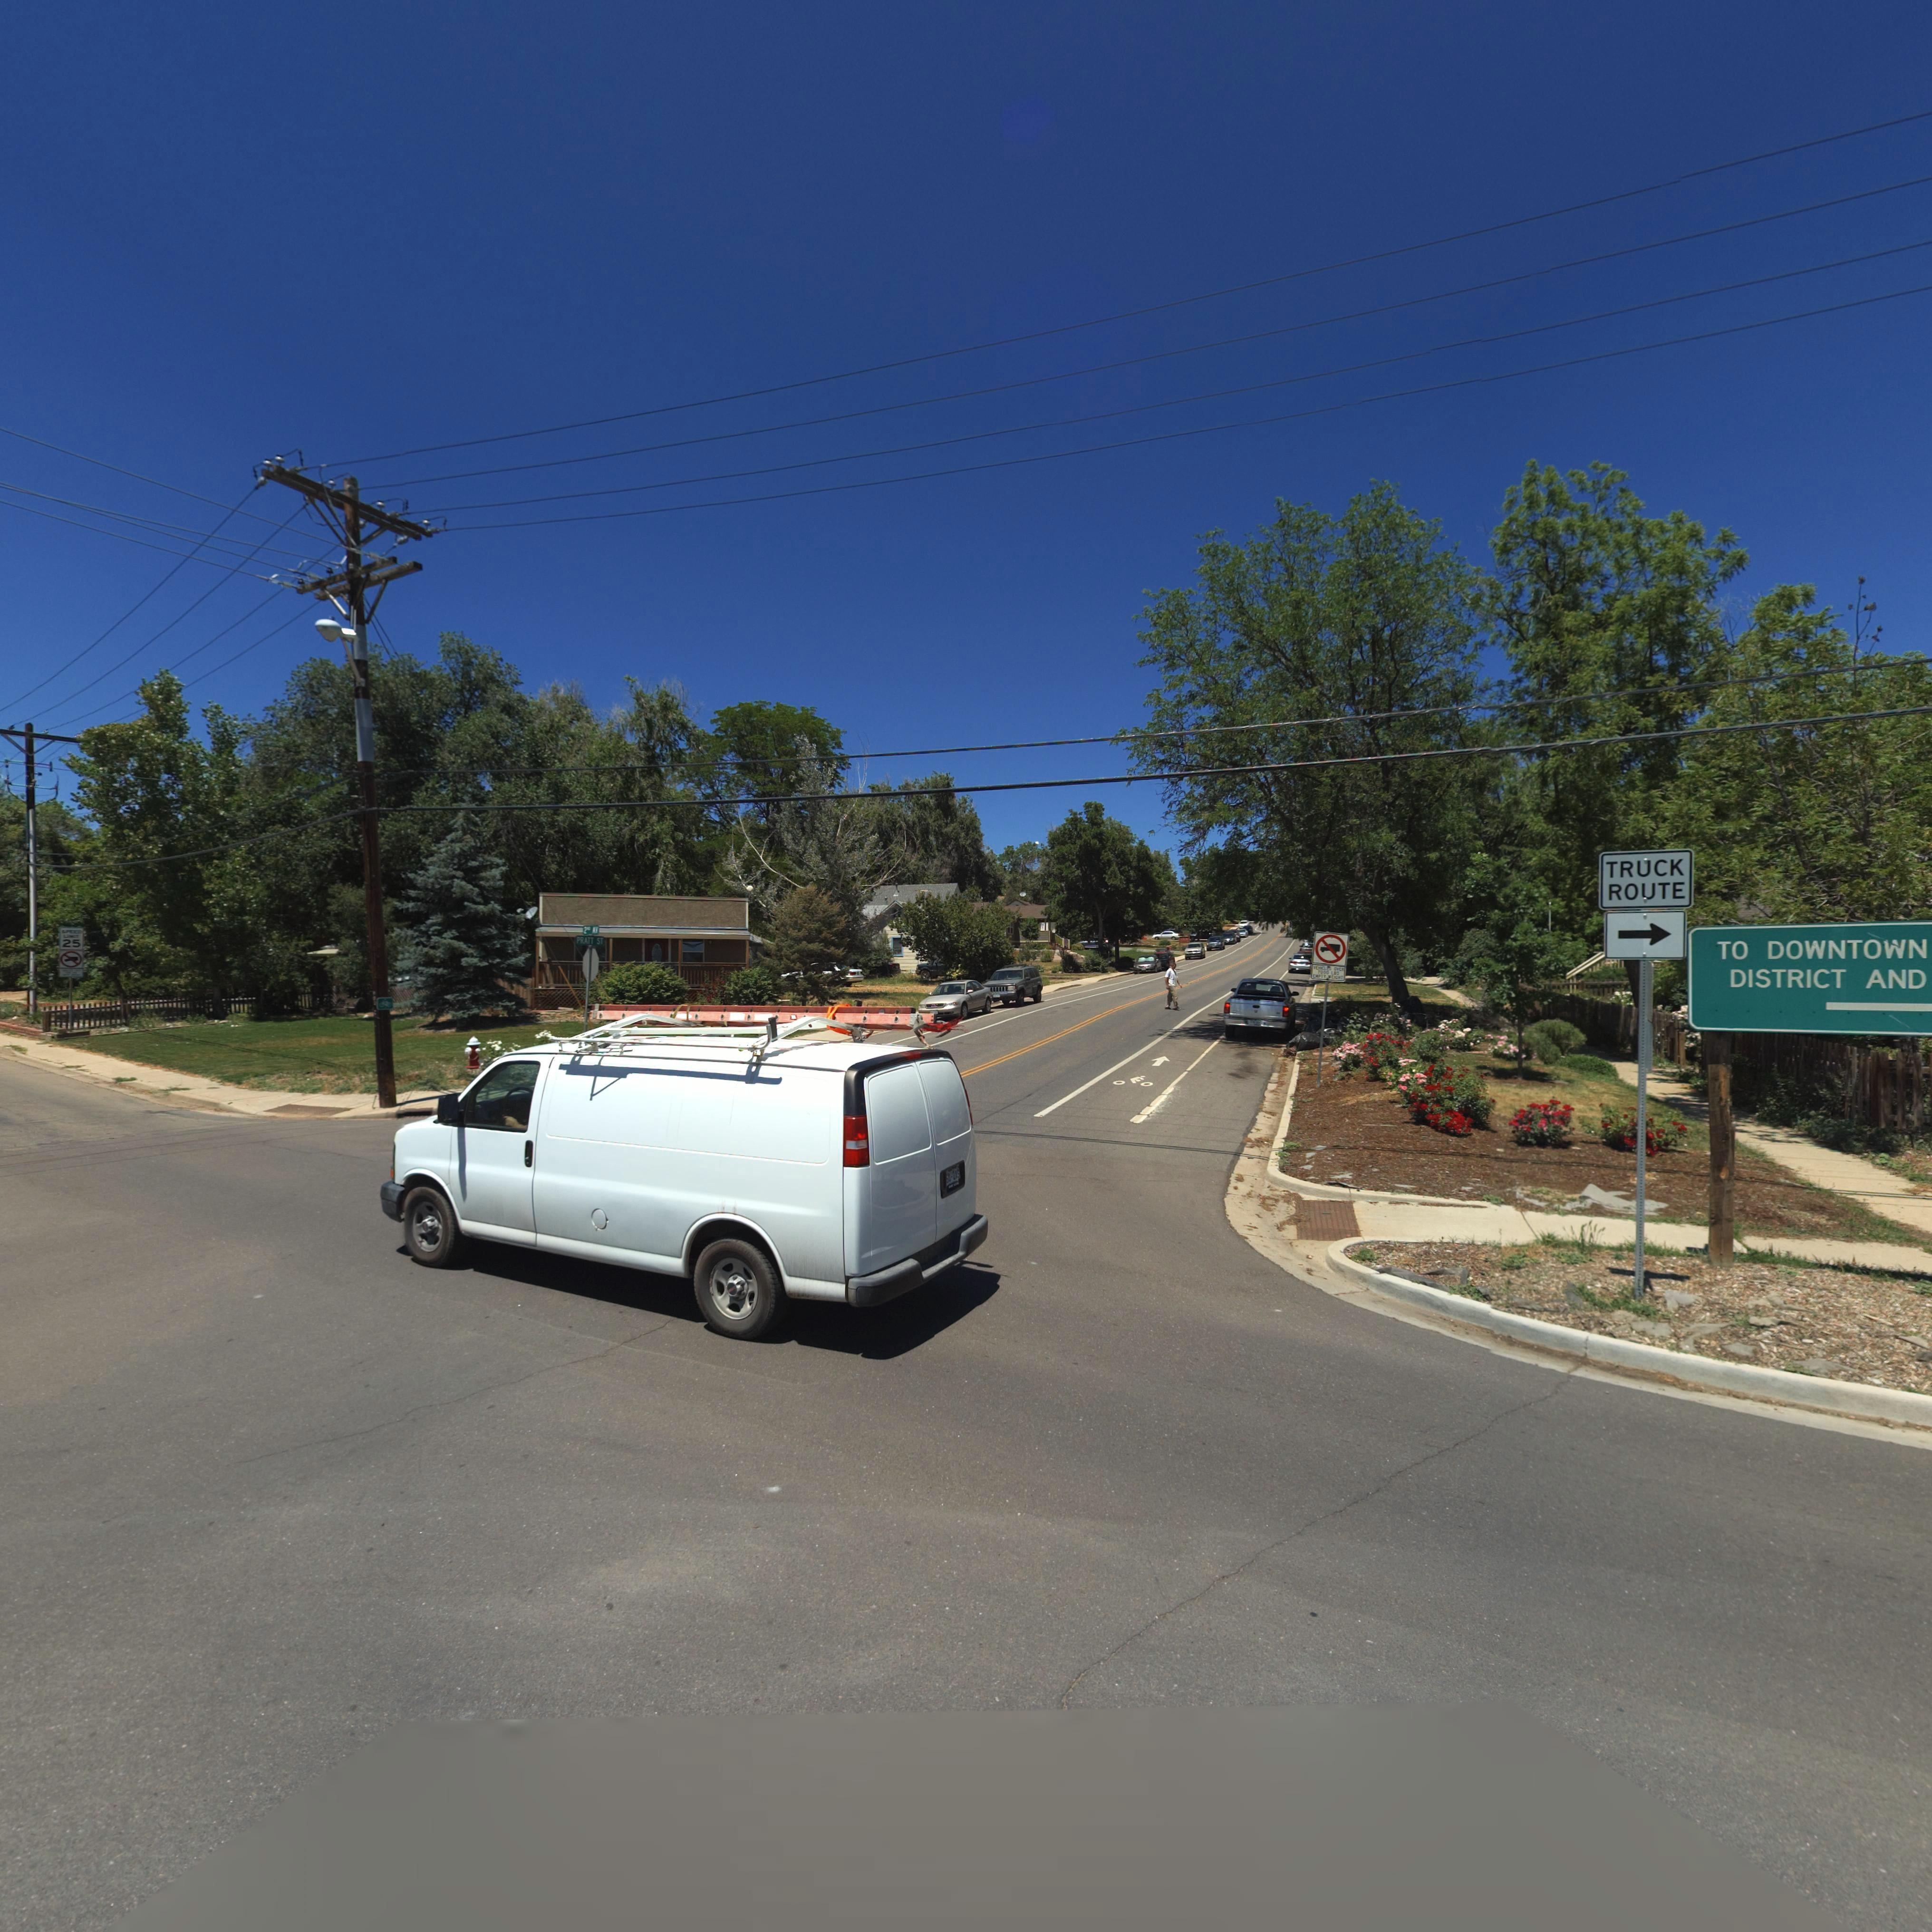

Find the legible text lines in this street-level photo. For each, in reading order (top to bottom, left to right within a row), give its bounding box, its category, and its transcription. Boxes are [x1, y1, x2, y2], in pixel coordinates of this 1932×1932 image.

[583, 926, 599, 934] StreetName: 2ND AV
[576, 936, 604, 945] StreetName: PRATT ST